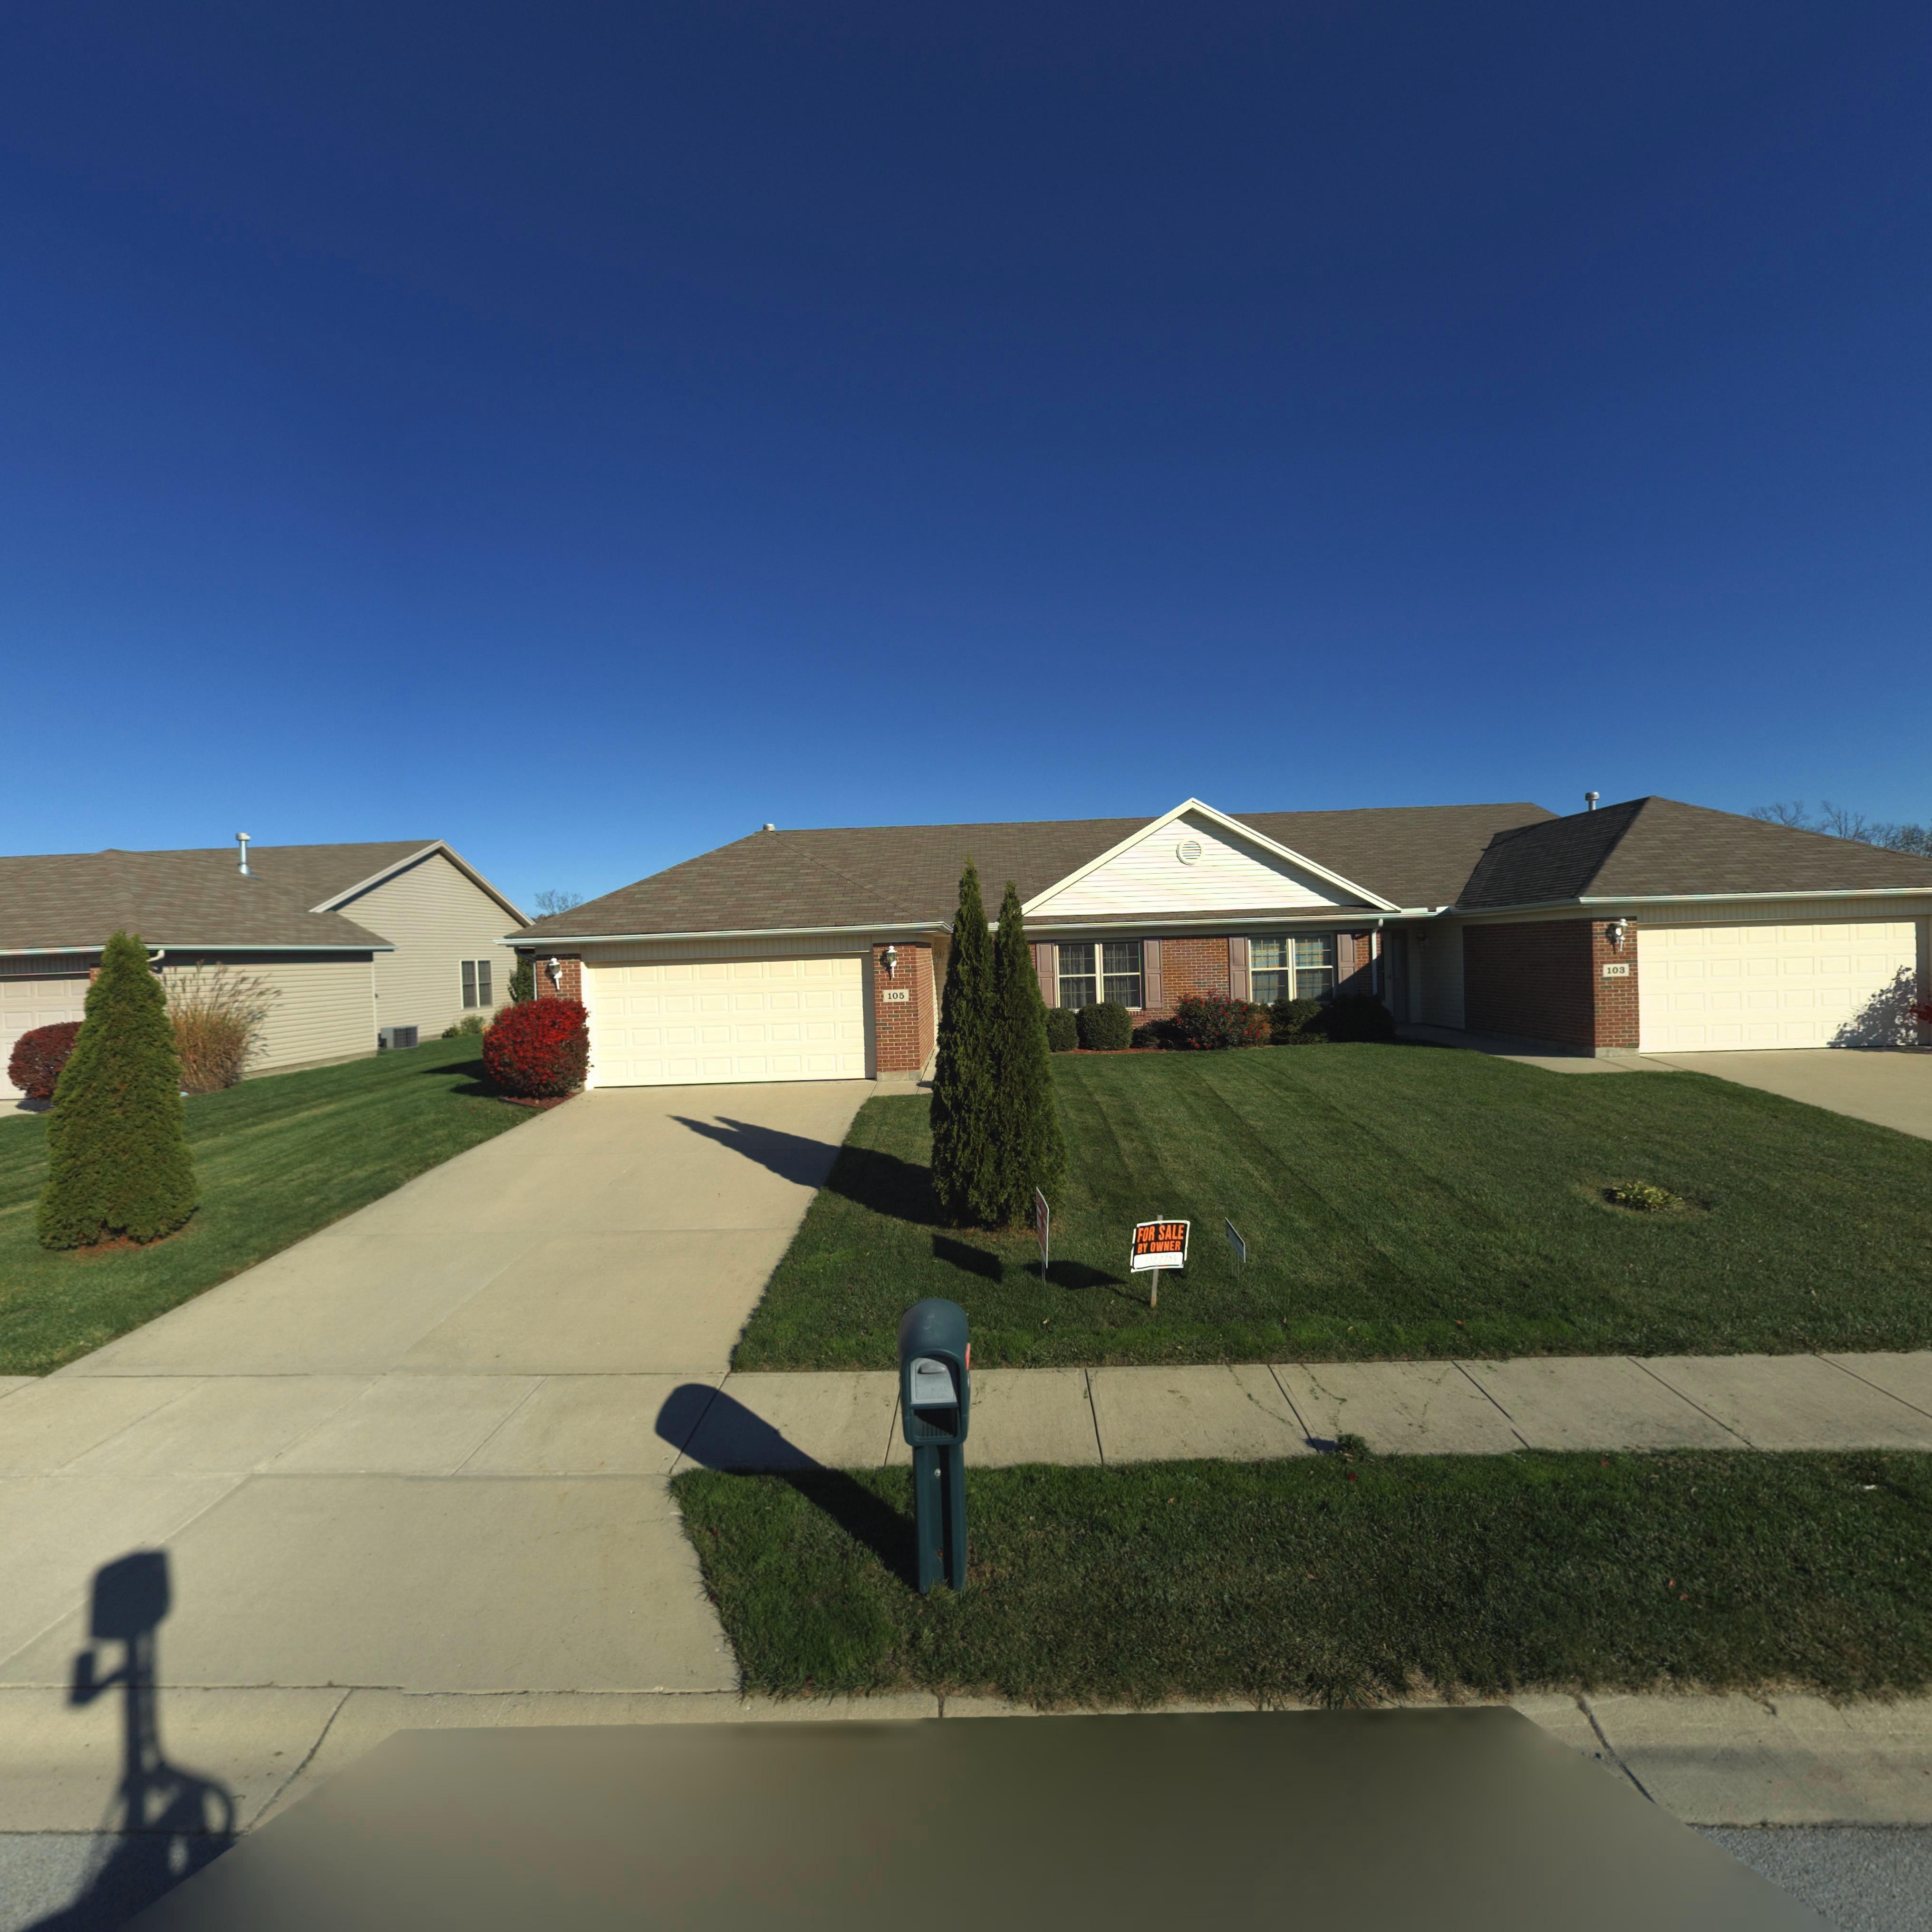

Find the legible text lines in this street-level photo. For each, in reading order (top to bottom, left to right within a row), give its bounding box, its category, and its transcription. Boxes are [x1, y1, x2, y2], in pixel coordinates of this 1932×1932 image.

[1606, 966, 1626, 975] StreetNumber: 103
[887, 992, 905, 1000] StreetNumber: 105